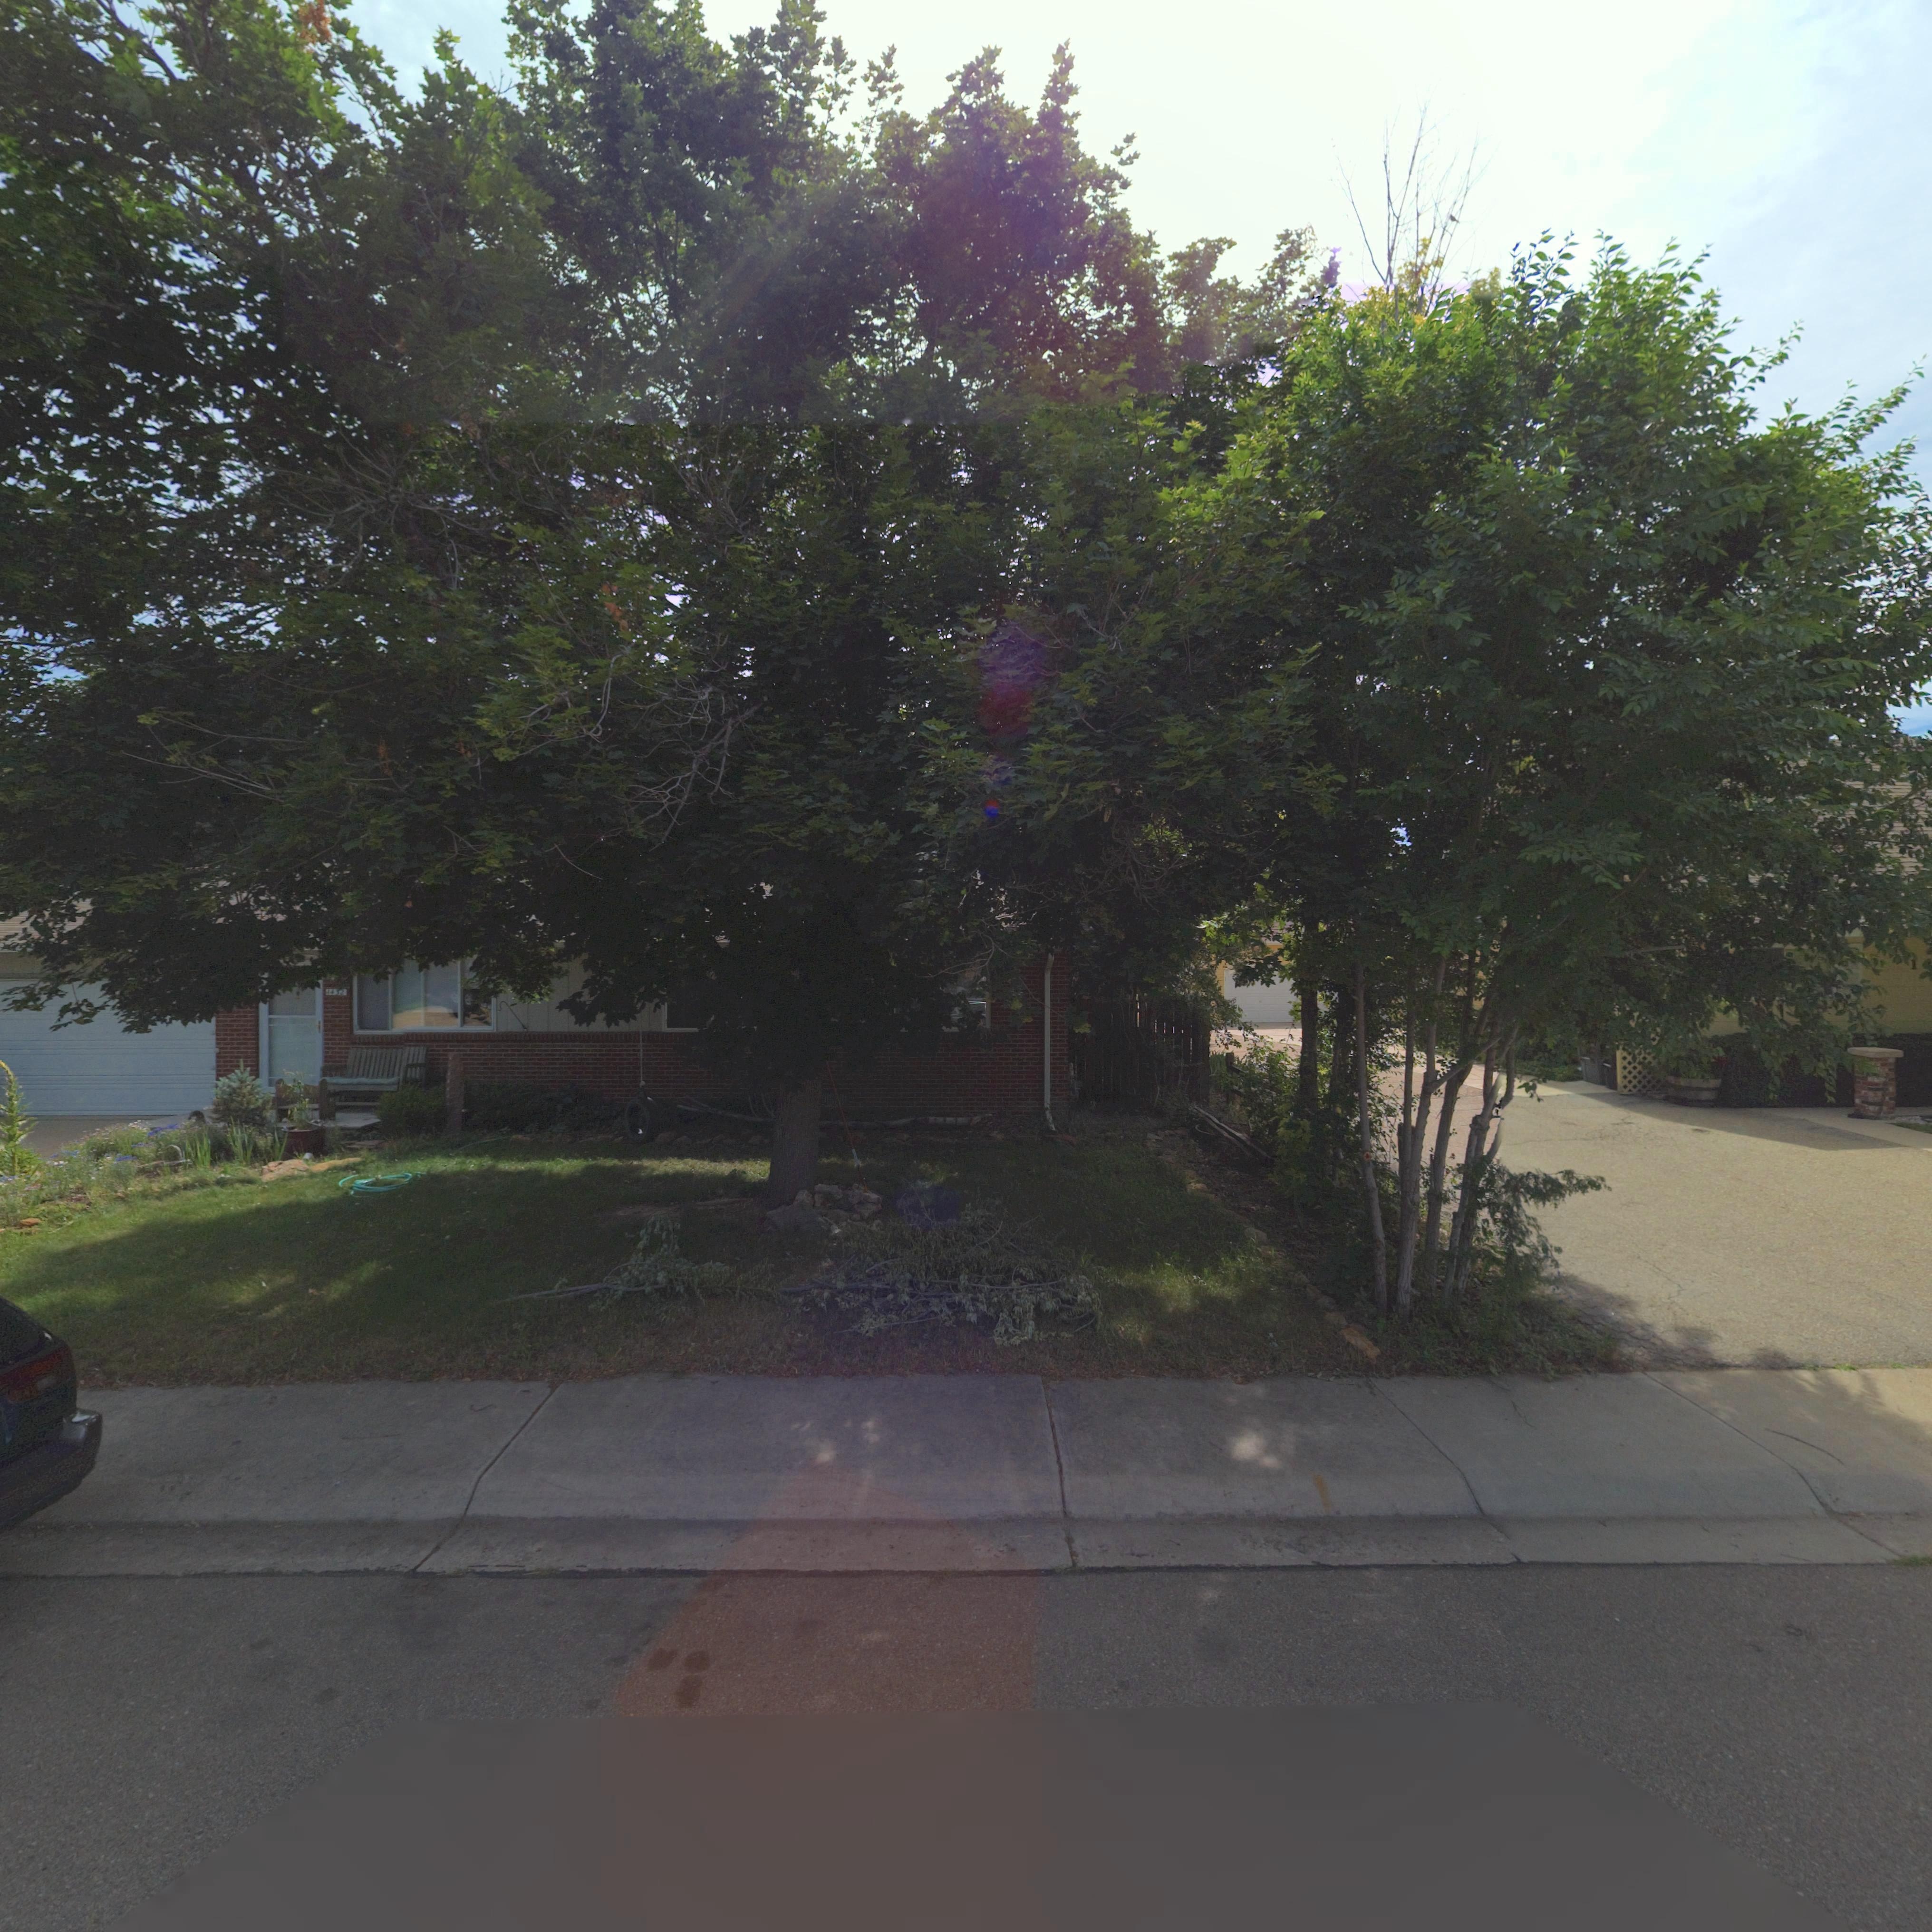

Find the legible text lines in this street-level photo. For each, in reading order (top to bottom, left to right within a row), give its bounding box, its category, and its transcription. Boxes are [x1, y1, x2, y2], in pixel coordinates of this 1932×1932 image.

[327, 989, 344, 995] StreetNumber: 14*2